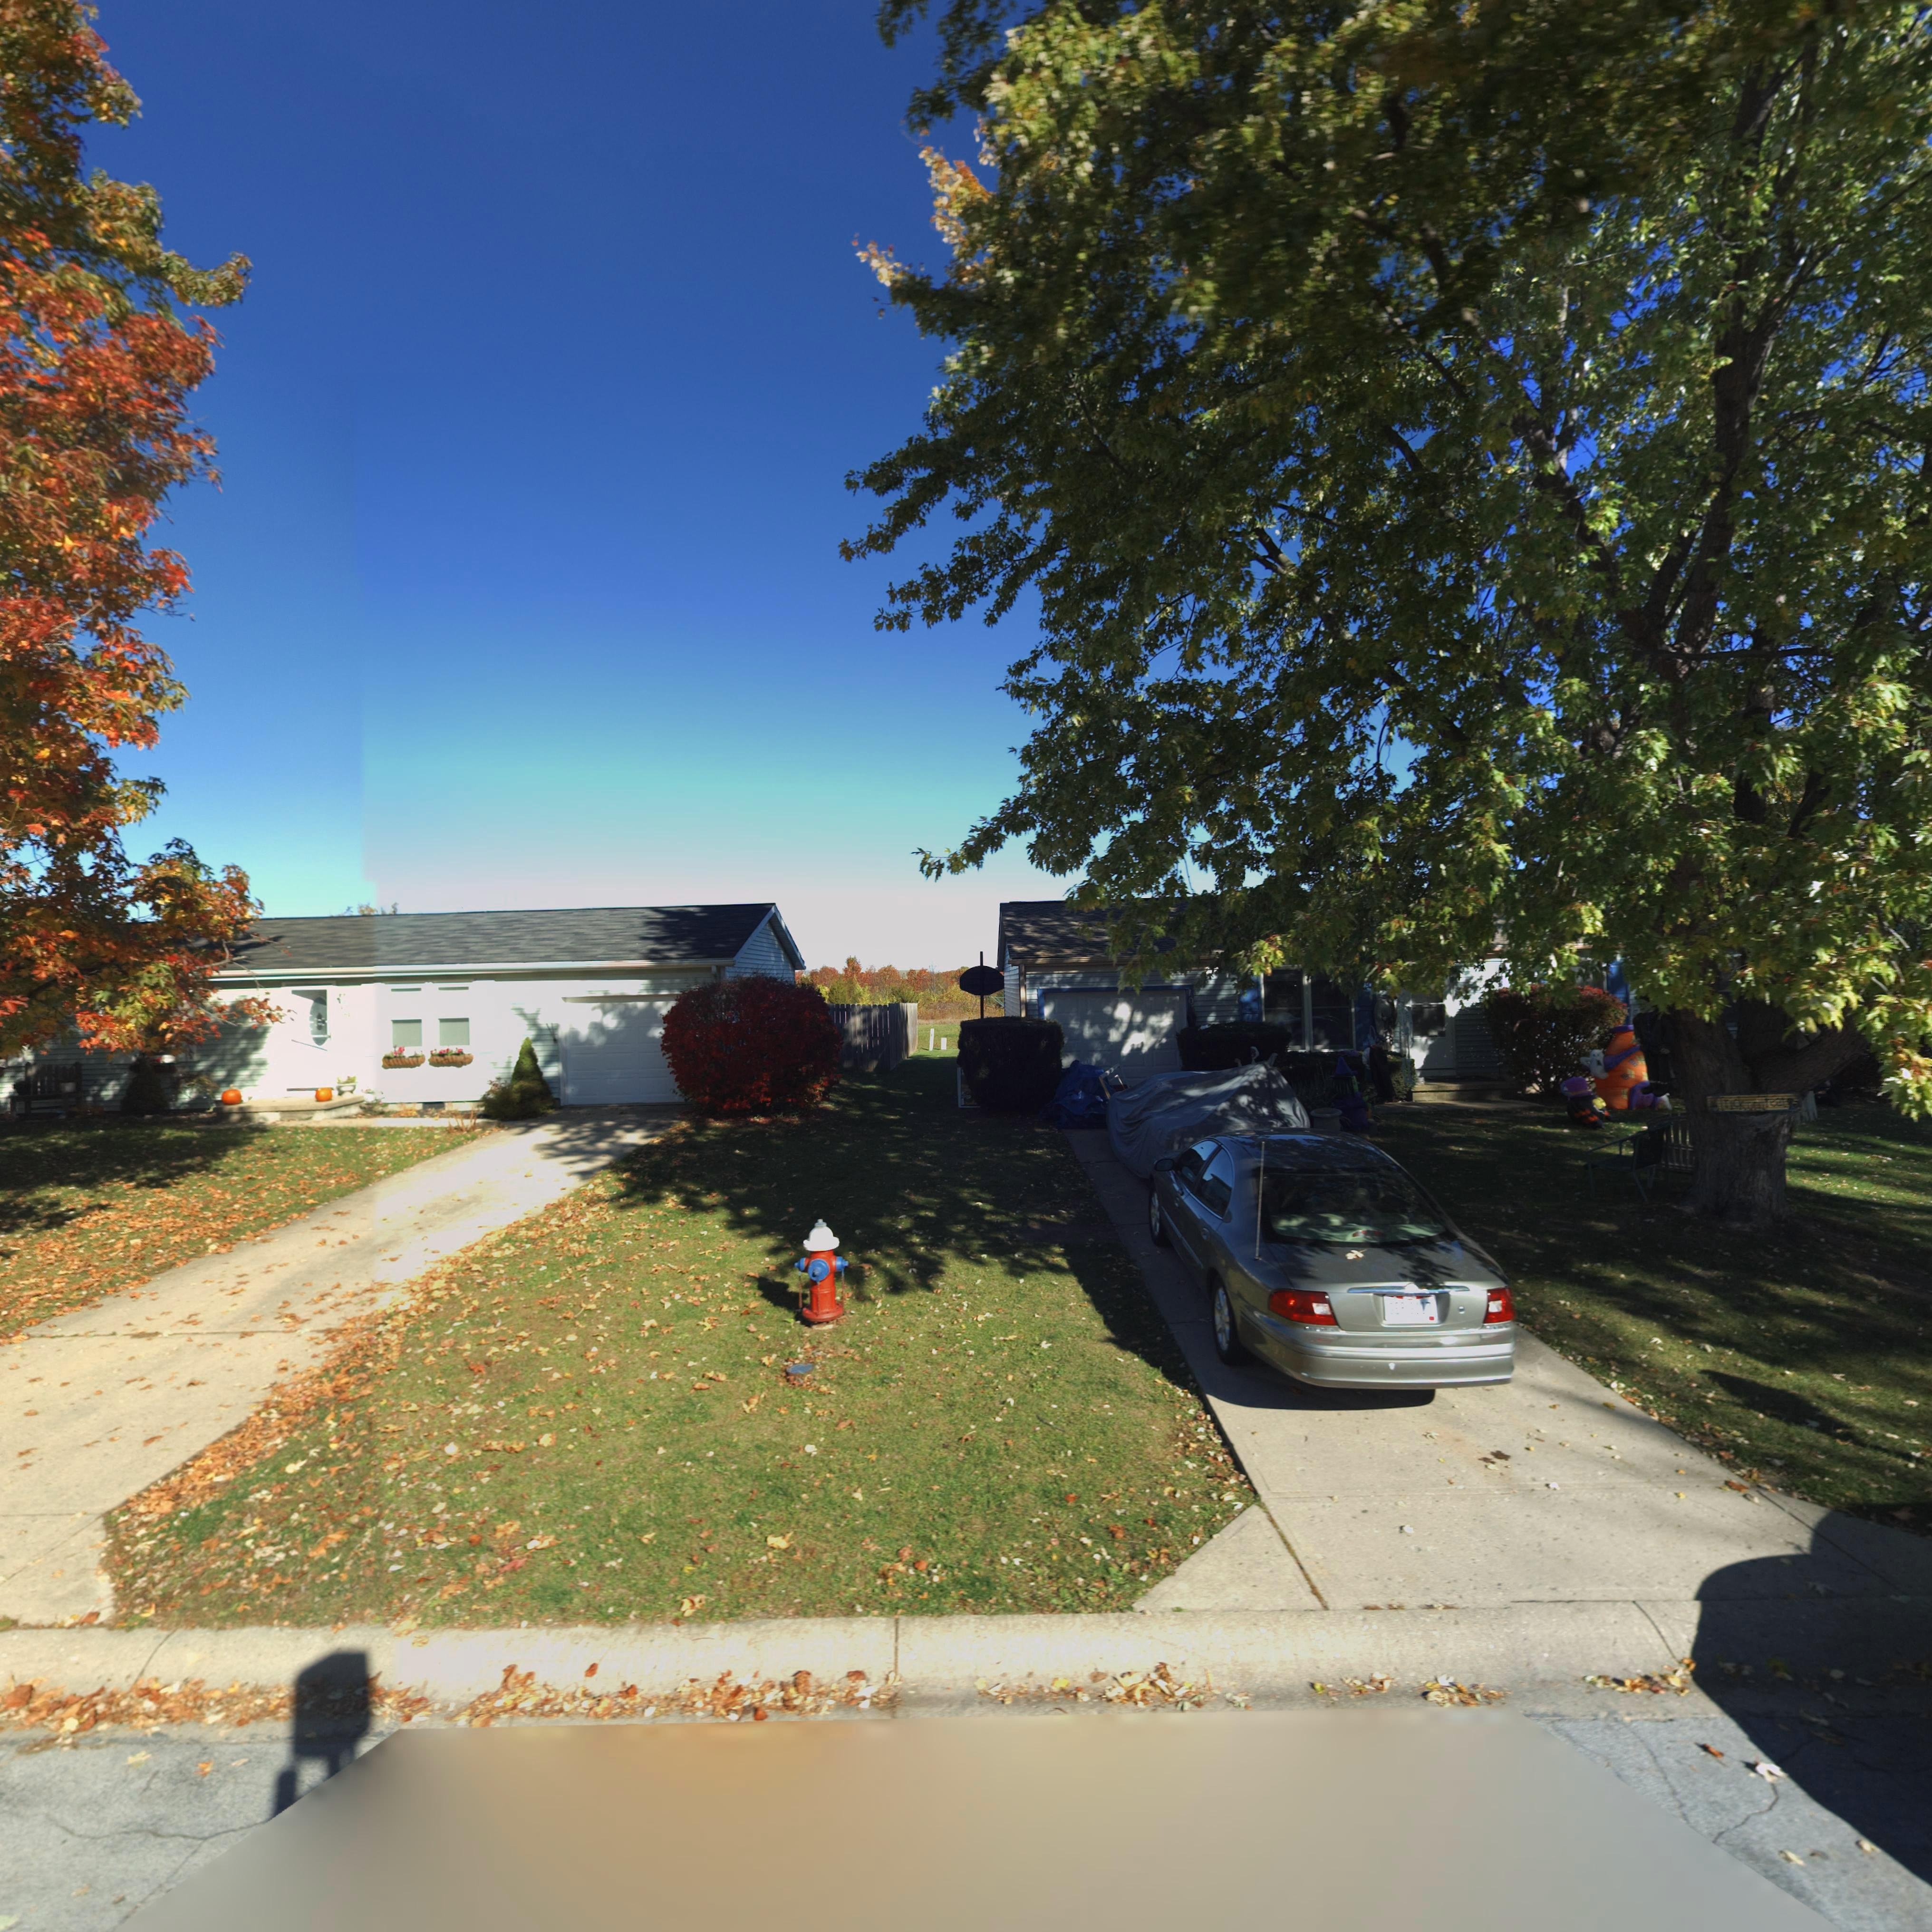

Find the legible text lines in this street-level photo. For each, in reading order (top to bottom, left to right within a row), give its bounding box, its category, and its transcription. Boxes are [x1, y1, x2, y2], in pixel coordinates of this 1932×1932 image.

[1187, 988, 1195, 1005] StreetNumber: 10